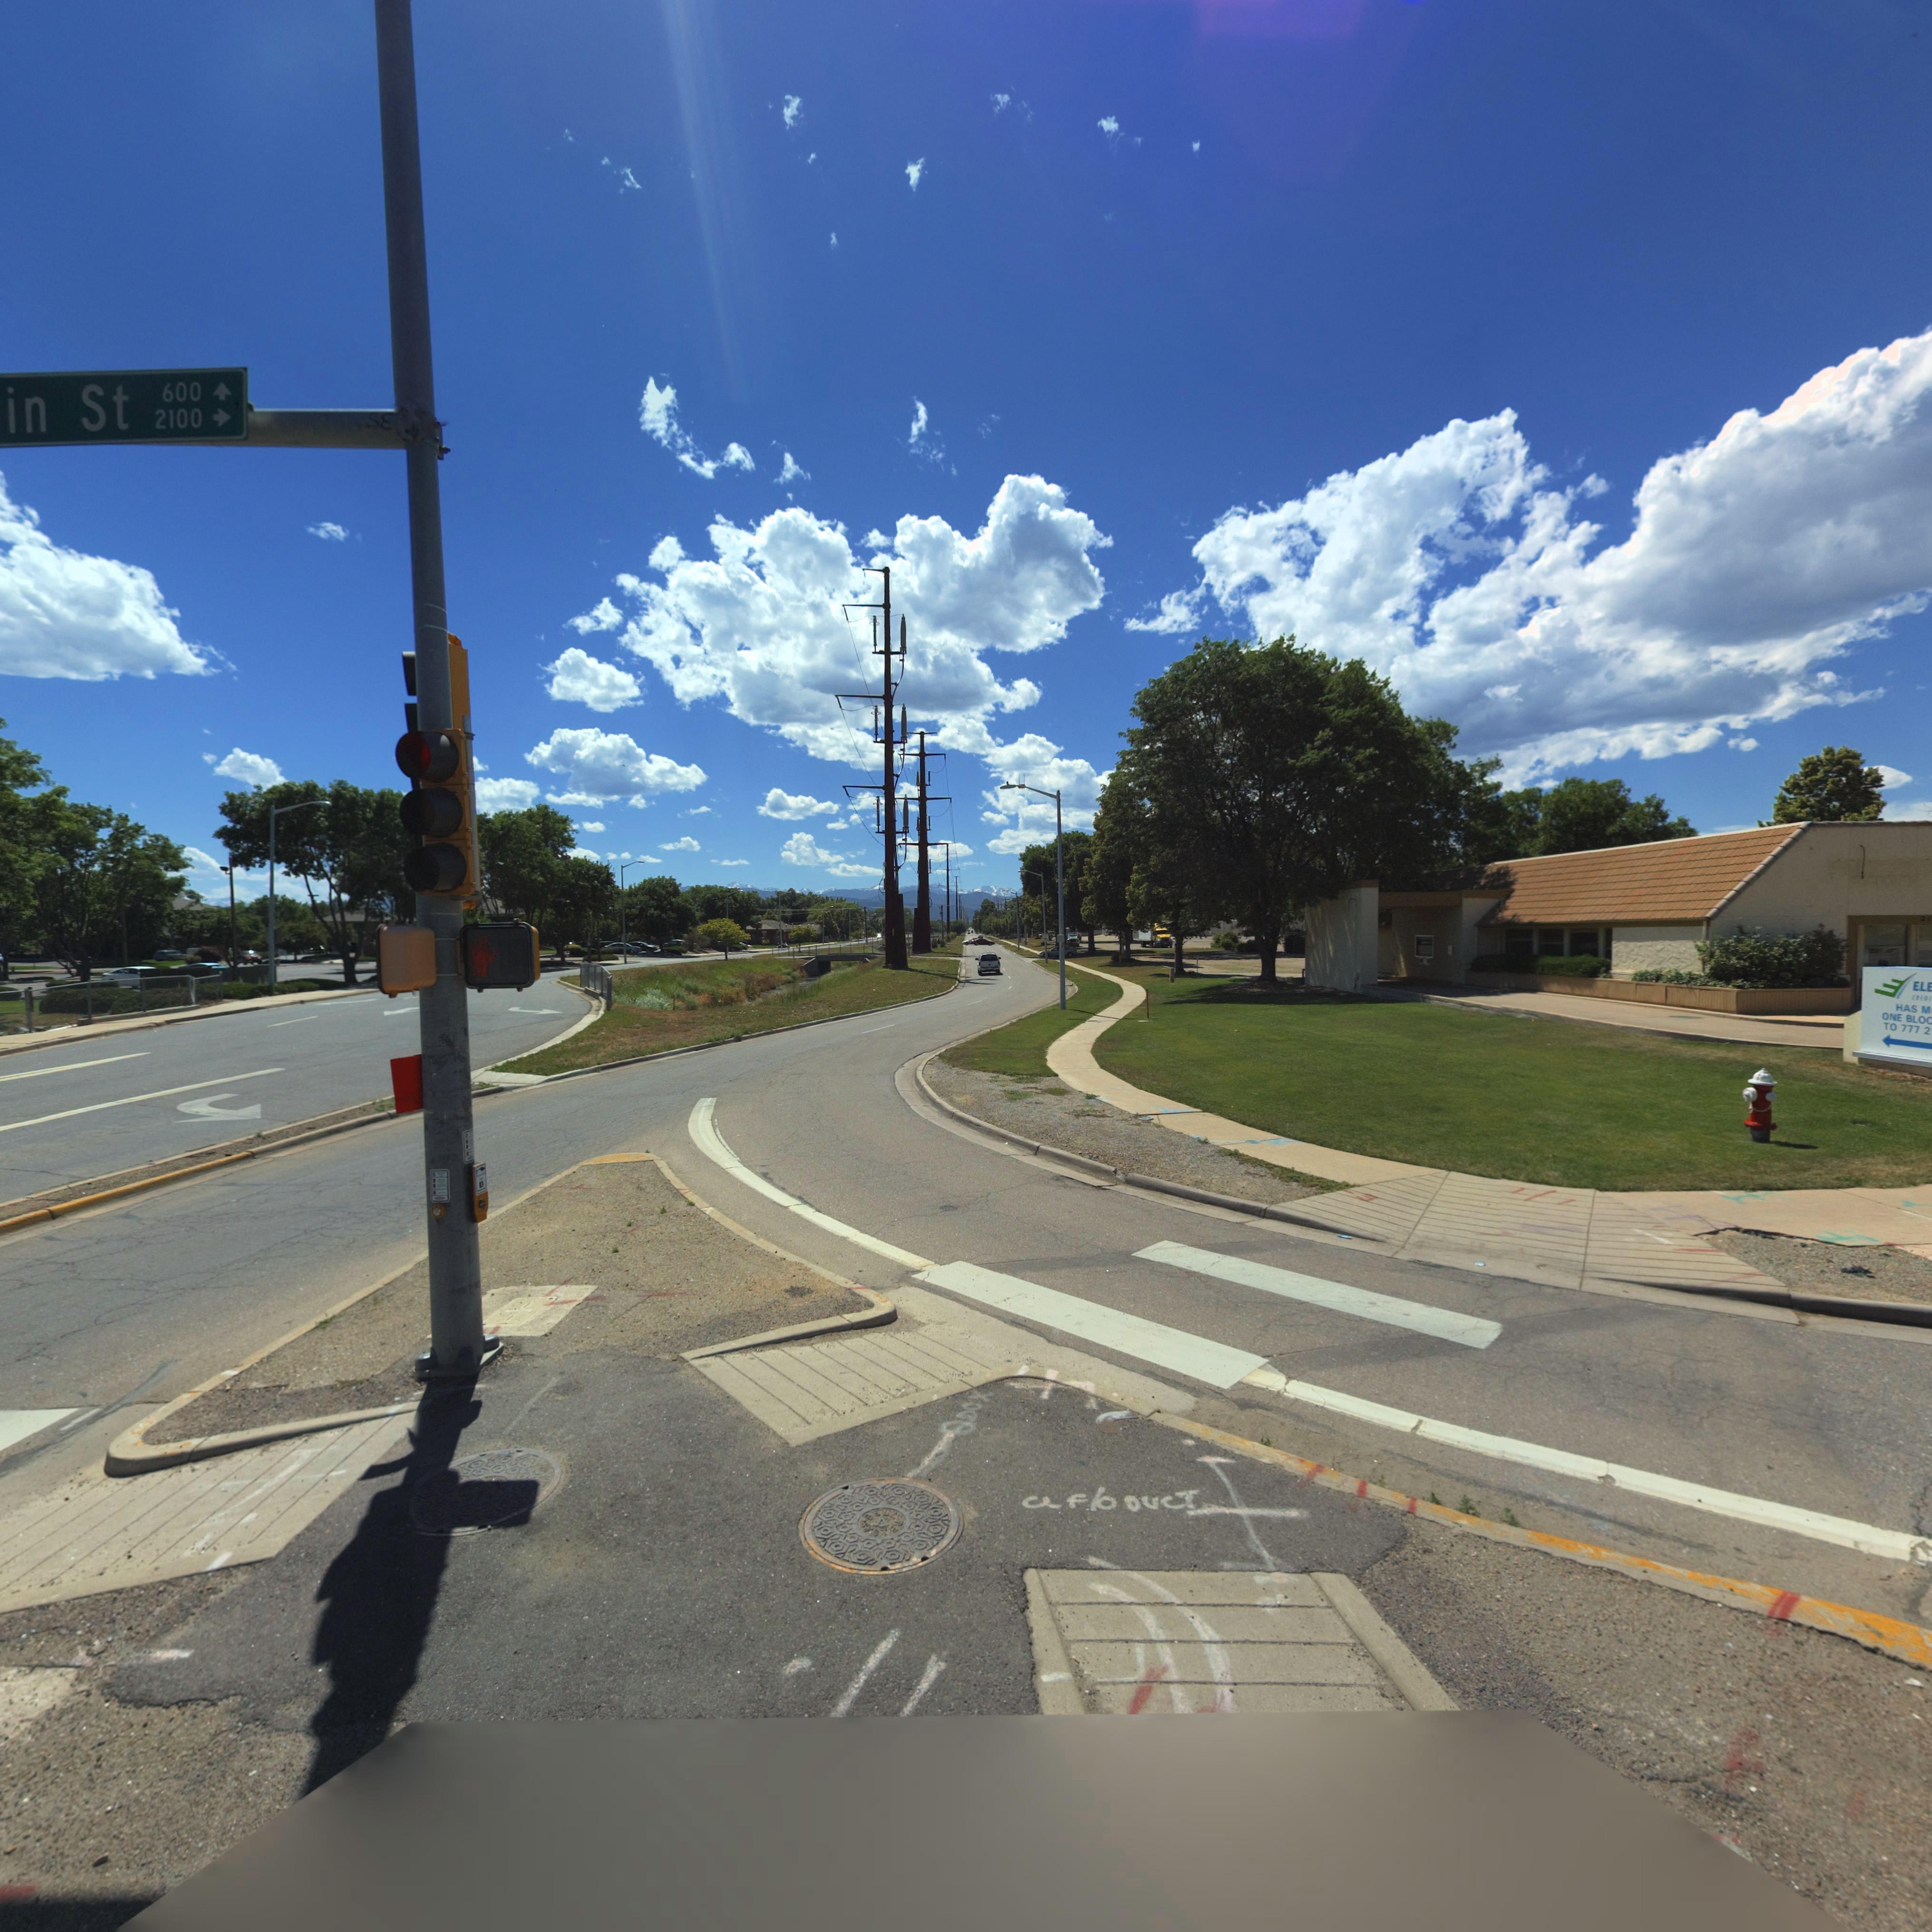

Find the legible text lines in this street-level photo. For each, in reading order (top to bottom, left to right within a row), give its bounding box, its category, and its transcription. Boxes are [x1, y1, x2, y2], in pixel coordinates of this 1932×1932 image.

[161, 380, 202, 404] StreetNumberRange: 600
[5, 383, 130, 434] StreetName: in St
[154, 406, 232, 430] StreetNumberRange: 2100 ->
[1920, 915, 1931, 921] StreetNumber: 21